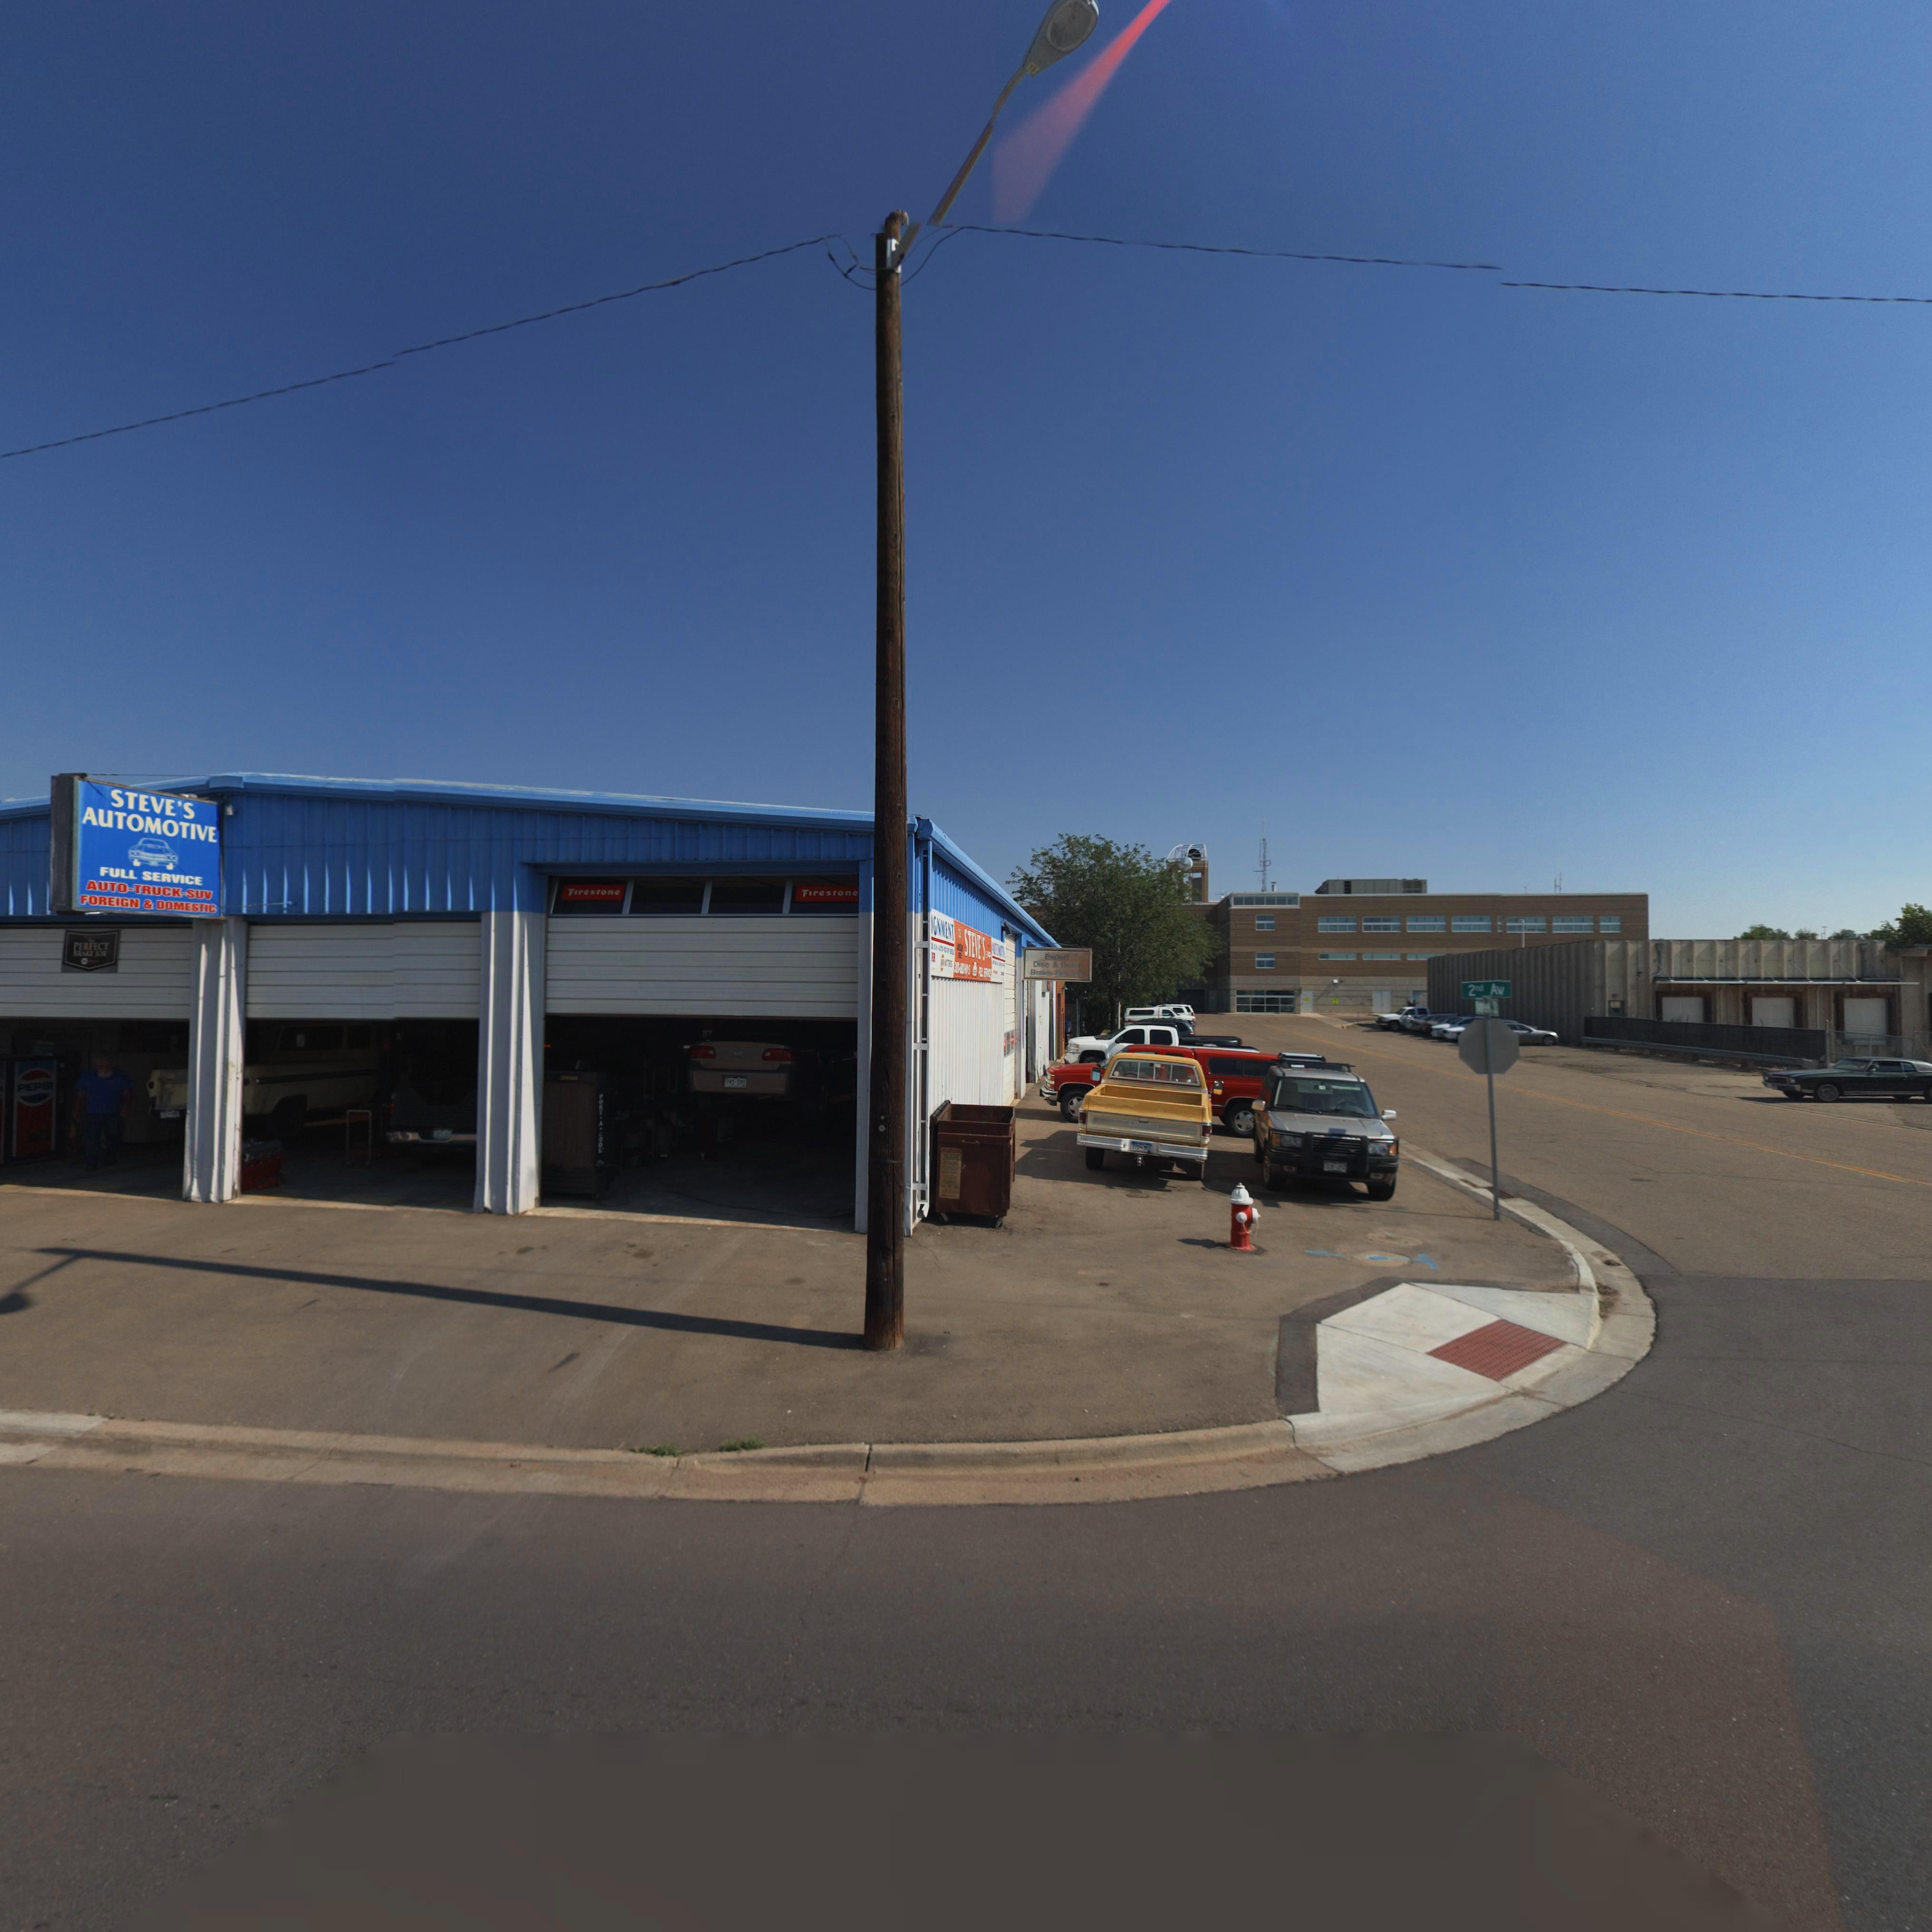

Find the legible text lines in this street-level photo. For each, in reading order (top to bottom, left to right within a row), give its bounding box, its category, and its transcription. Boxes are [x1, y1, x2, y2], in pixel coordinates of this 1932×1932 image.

[110, 789, 194, 819] BusinessName: STEVE'S
[81, 805, 218, 843] BusinessName: AUTOMOTIVE
[964, 927, 985, 961] BusinessName: STEVE'S
[992, 941, 1006, 958] BusinessName: AUTOMOTIVE
[940, 958, 952, 967] BusinessName: AUTOMOTIVE
[1467, 983, 1505, 997] StreetName: 2nd Av*
[1474, 1000, 1499, 1014] StreetName: Kimbark St